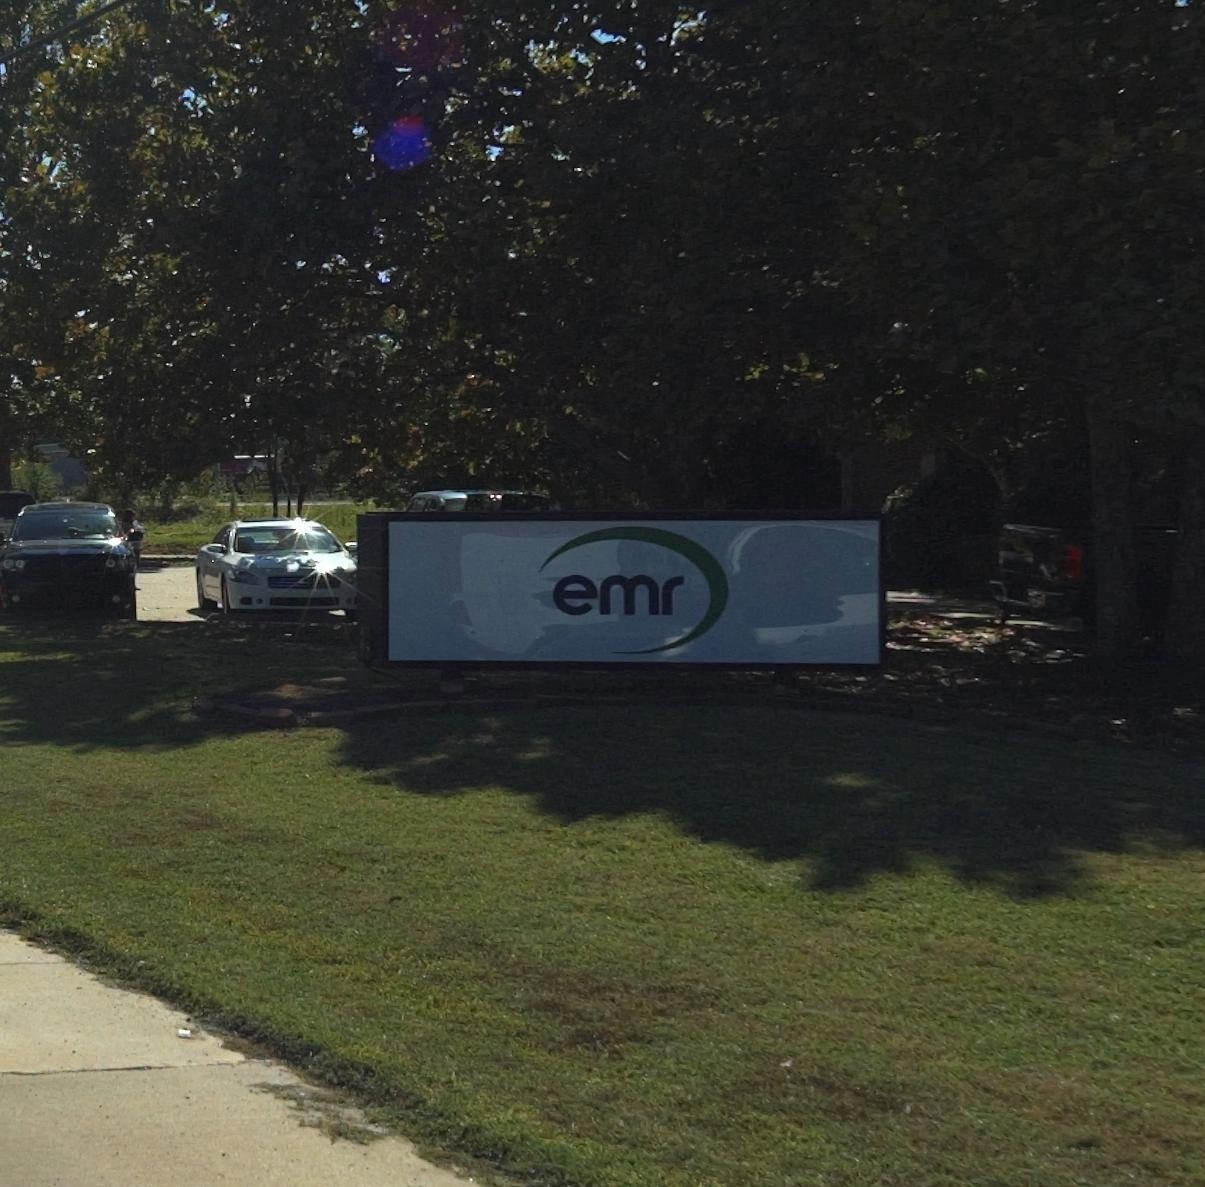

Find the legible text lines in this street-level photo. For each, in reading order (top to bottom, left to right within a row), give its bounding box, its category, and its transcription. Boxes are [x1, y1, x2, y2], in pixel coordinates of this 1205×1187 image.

[552, 573, 686, 617] BusinessName: emr